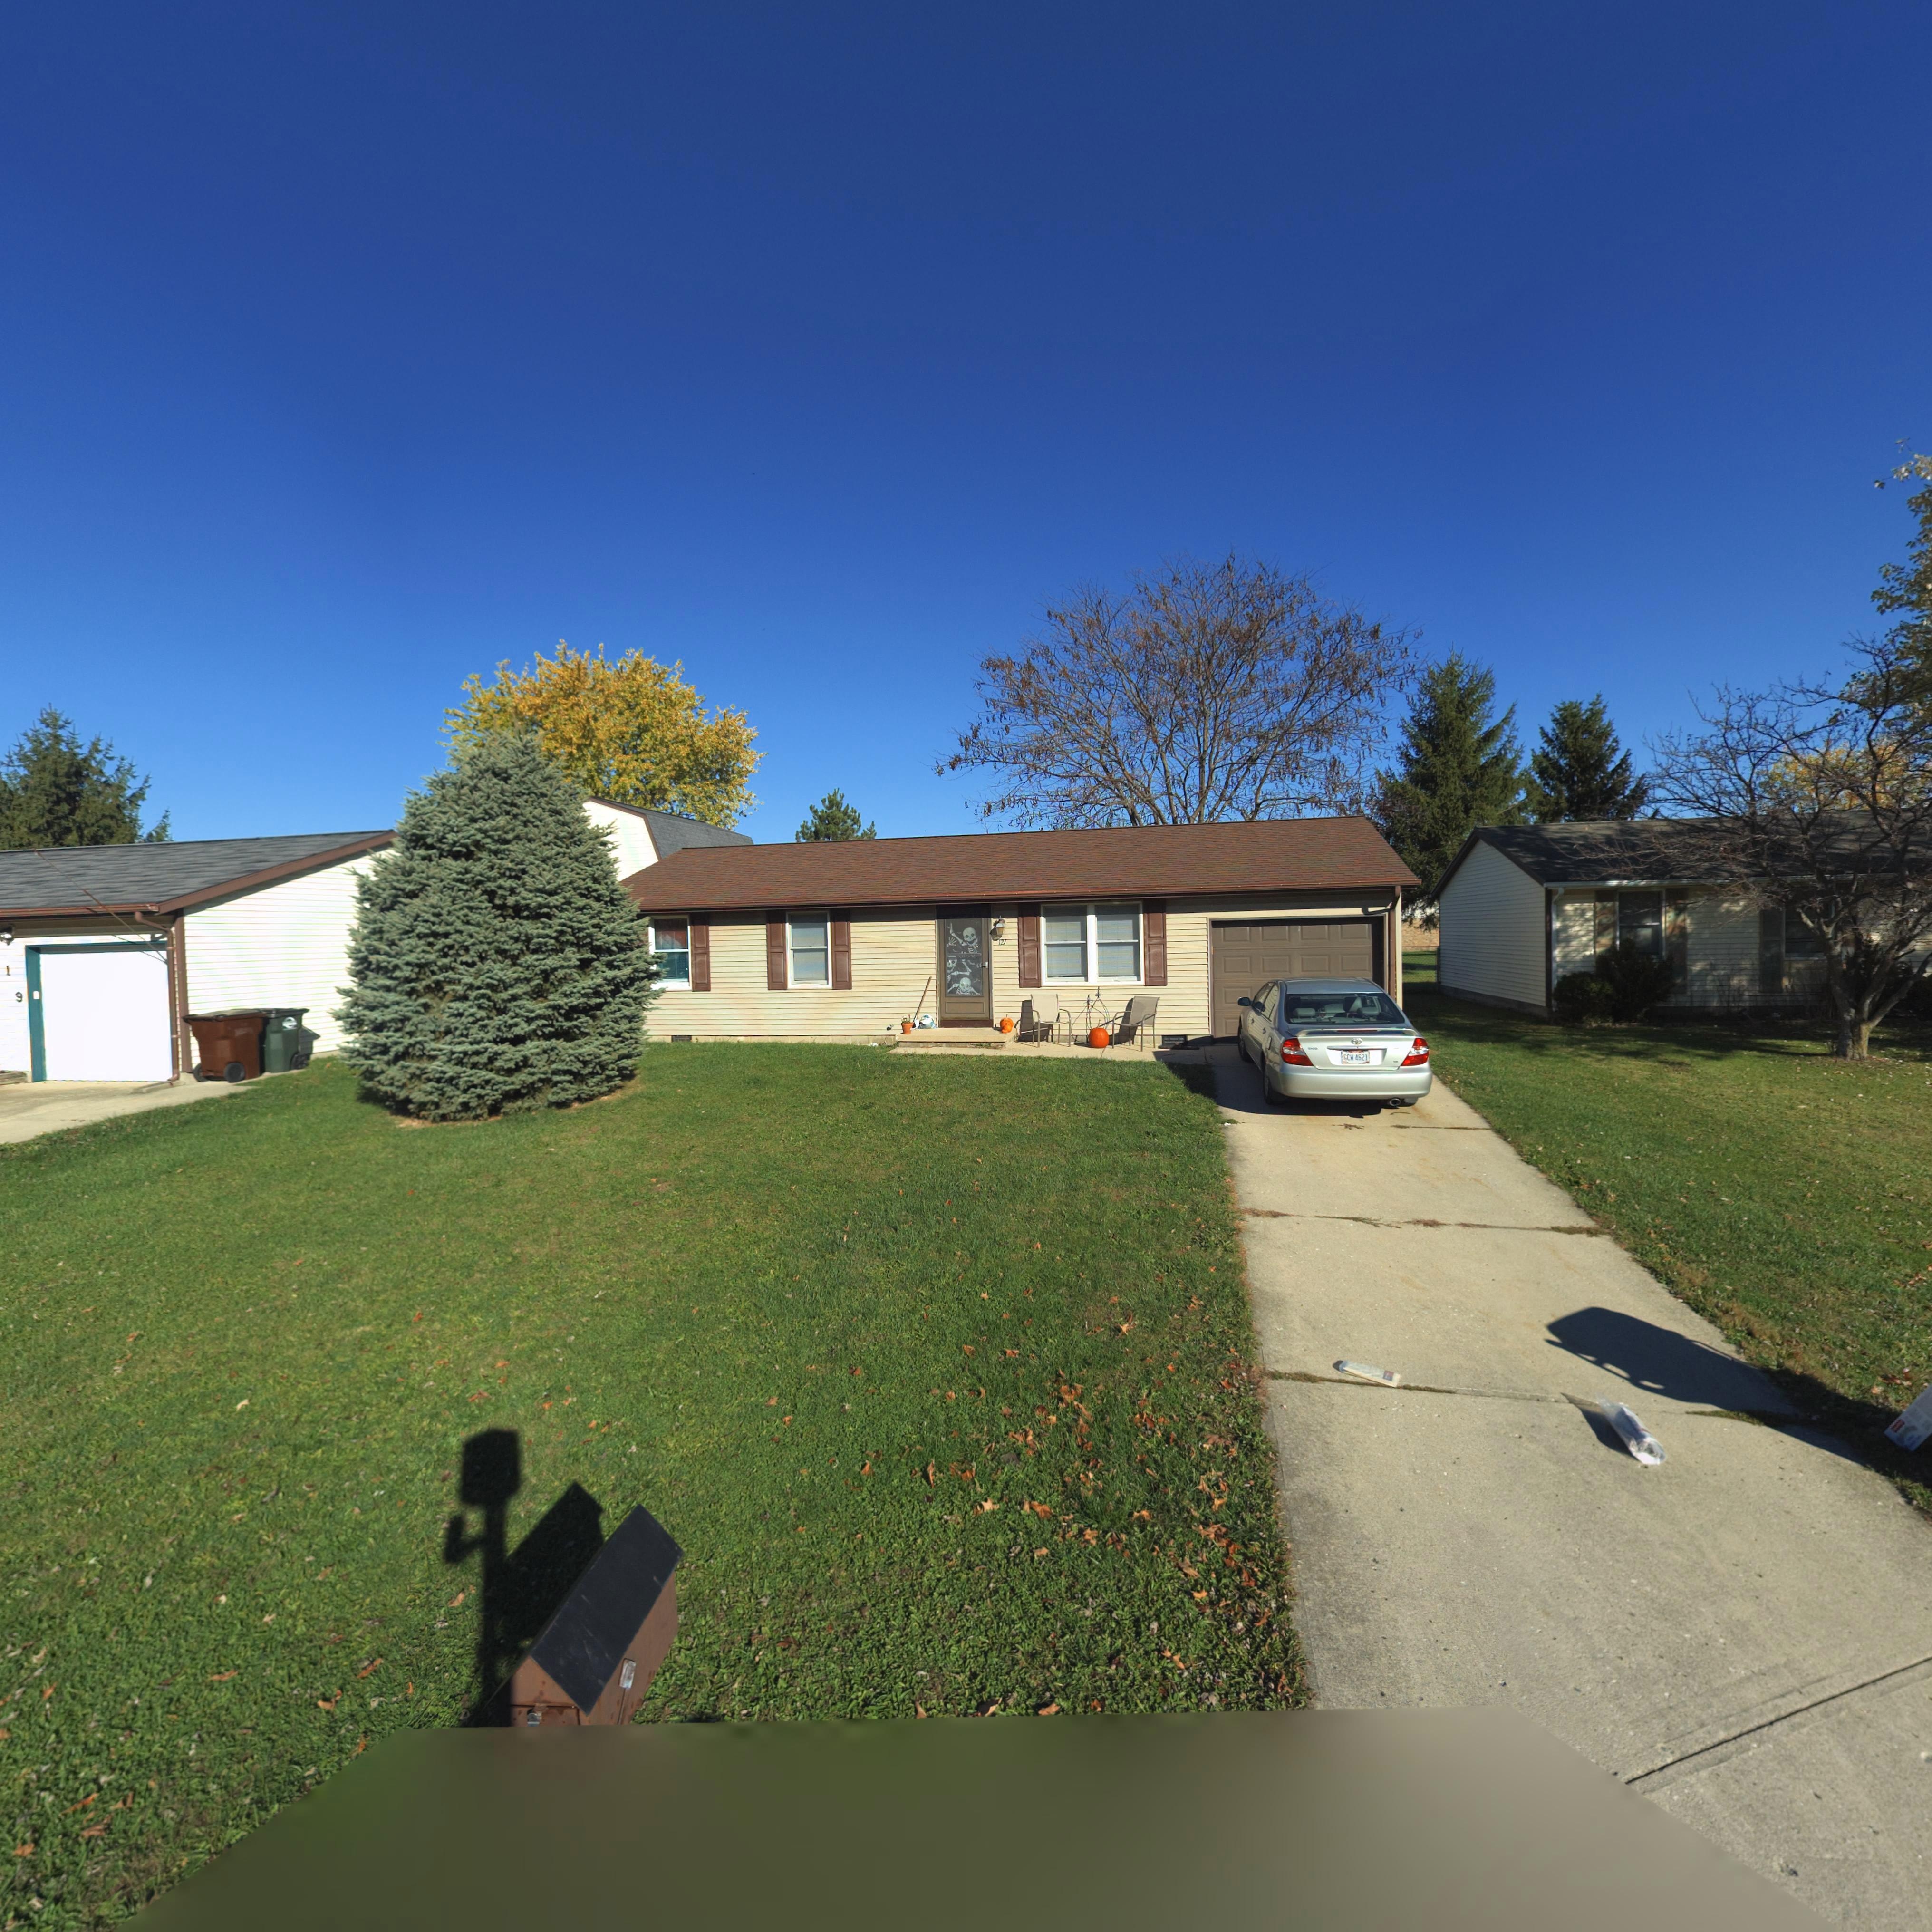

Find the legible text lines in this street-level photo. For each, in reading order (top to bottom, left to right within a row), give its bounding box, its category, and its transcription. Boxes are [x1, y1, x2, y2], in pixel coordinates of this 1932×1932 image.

[998, 939, 1007, 946] StreetNumber: 121
[5, 965, 23, 1003] StreetNumber: 19